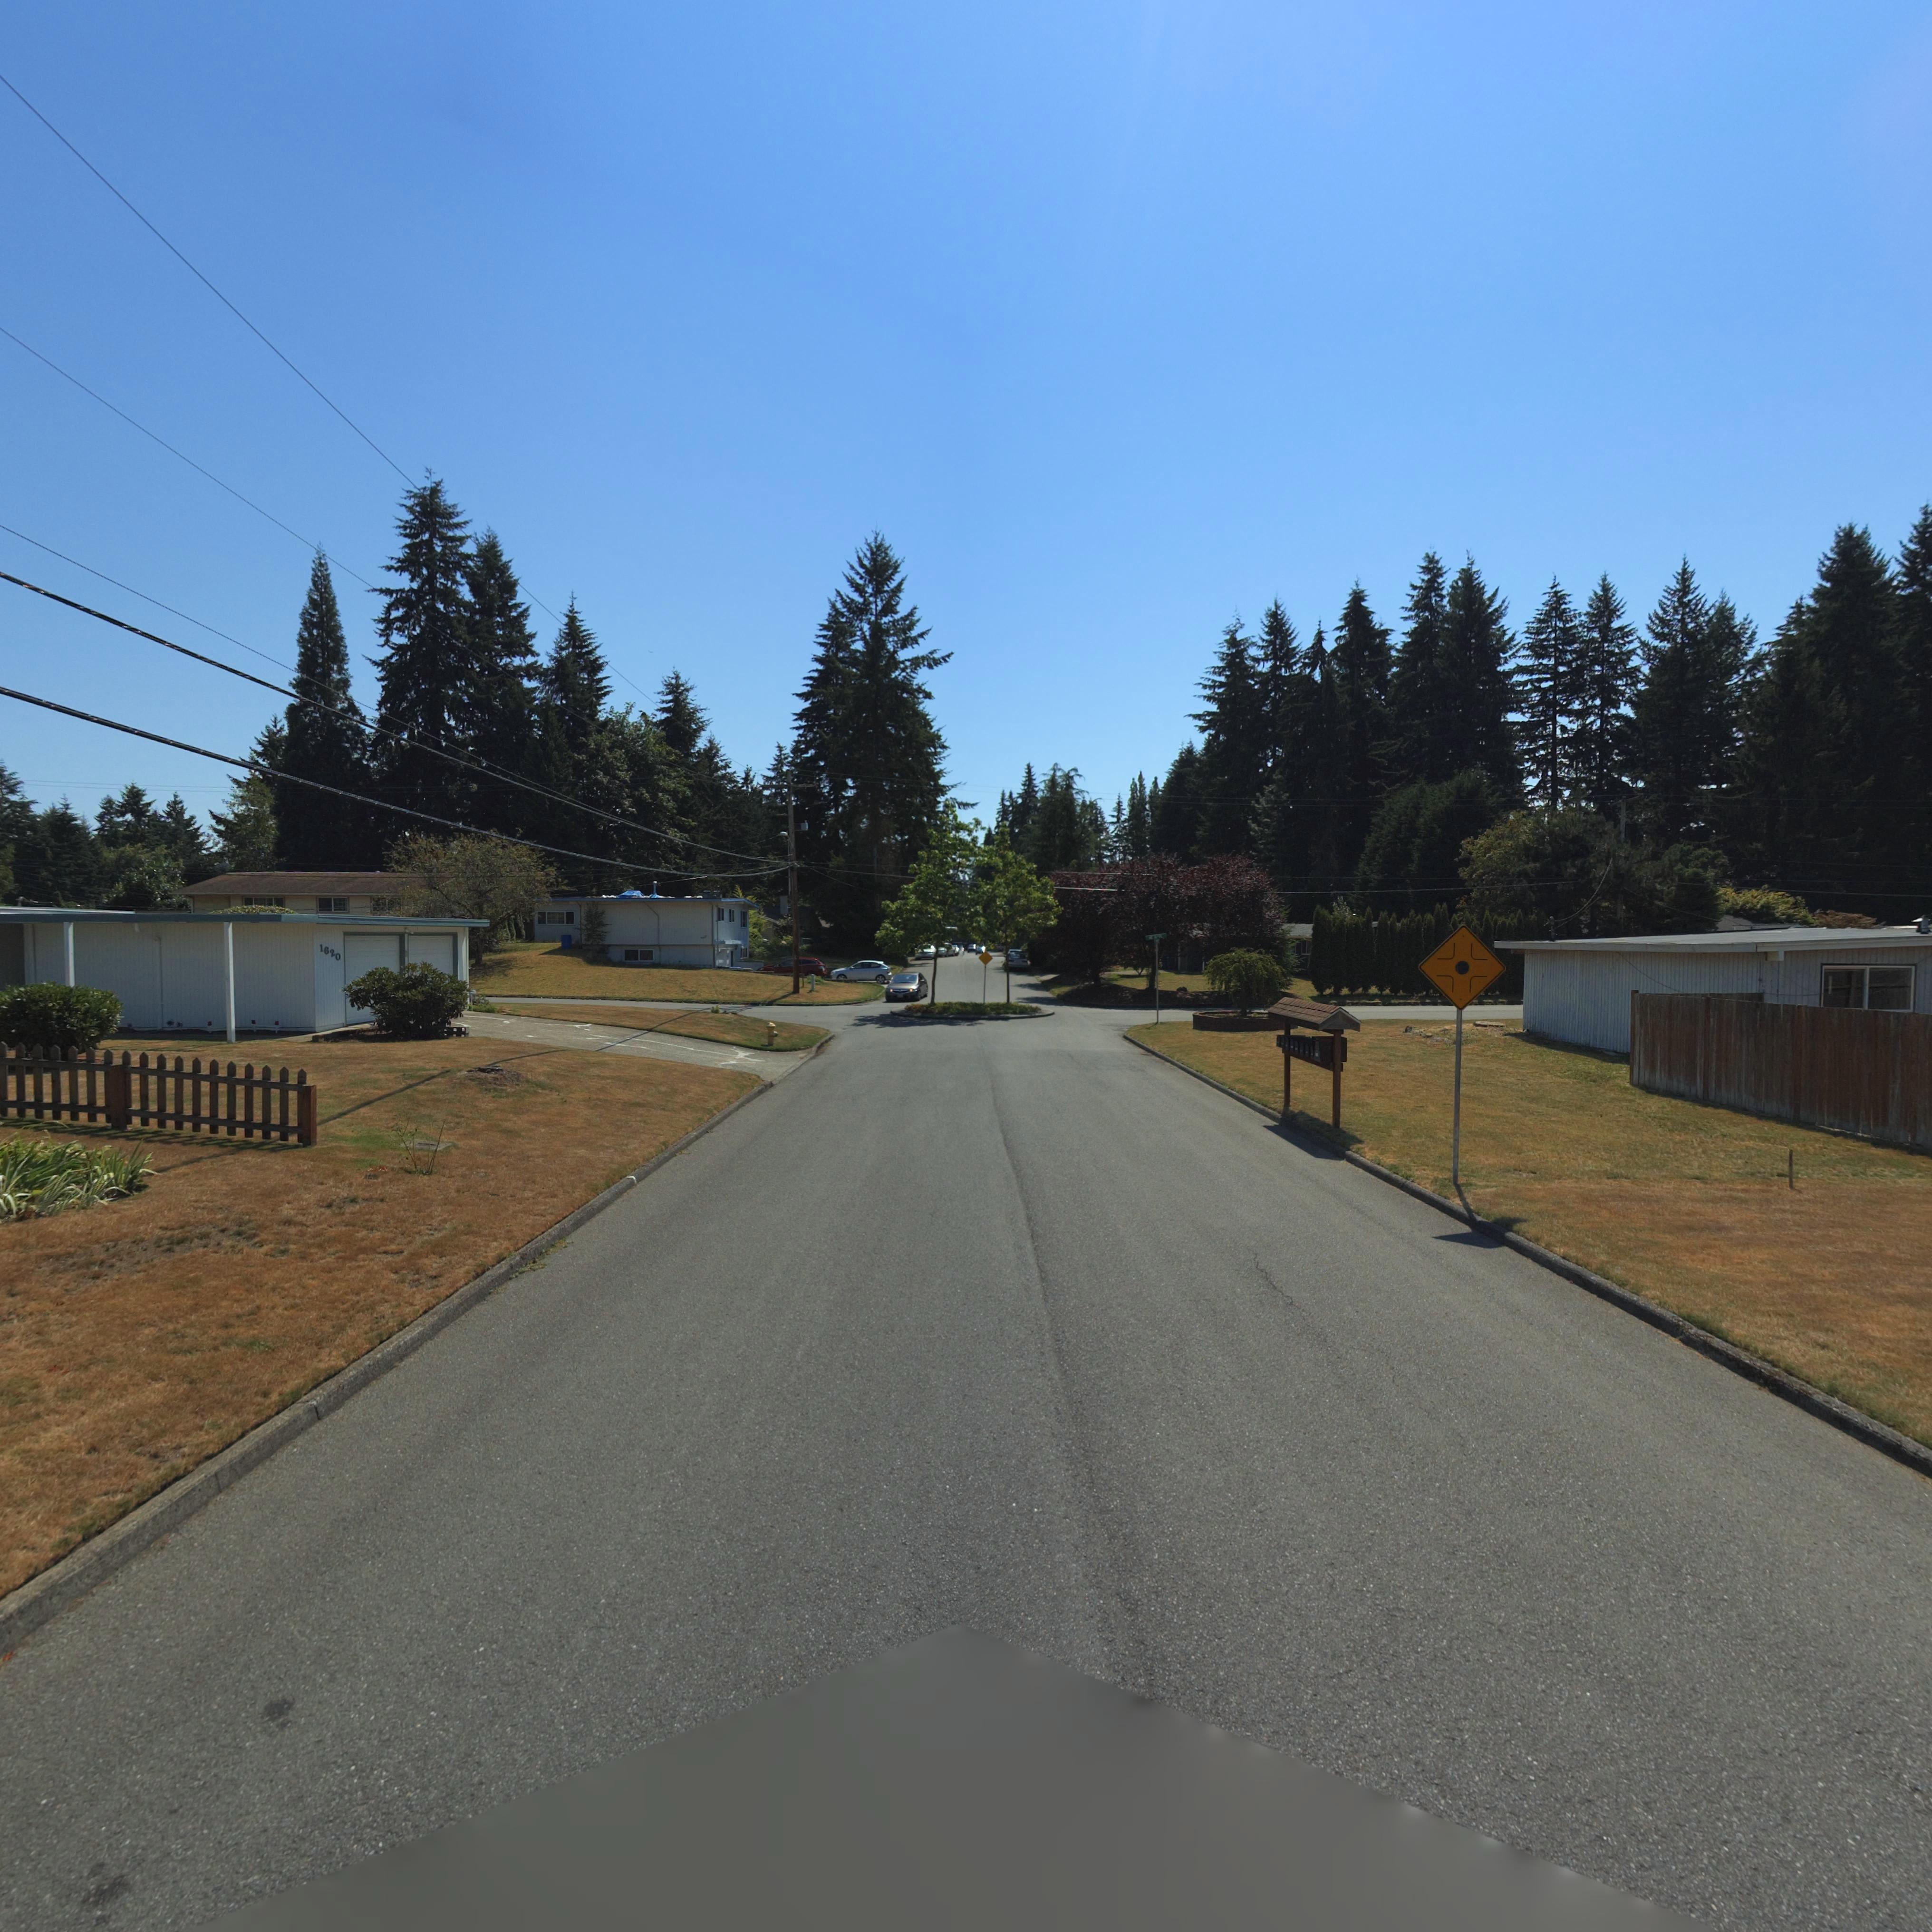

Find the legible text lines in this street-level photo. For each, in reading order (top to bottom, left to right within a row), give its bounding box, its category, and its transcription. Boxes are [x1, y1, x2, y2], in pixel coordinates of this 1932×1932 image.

[319, 944, 341, 962] StreetNumber: 1620